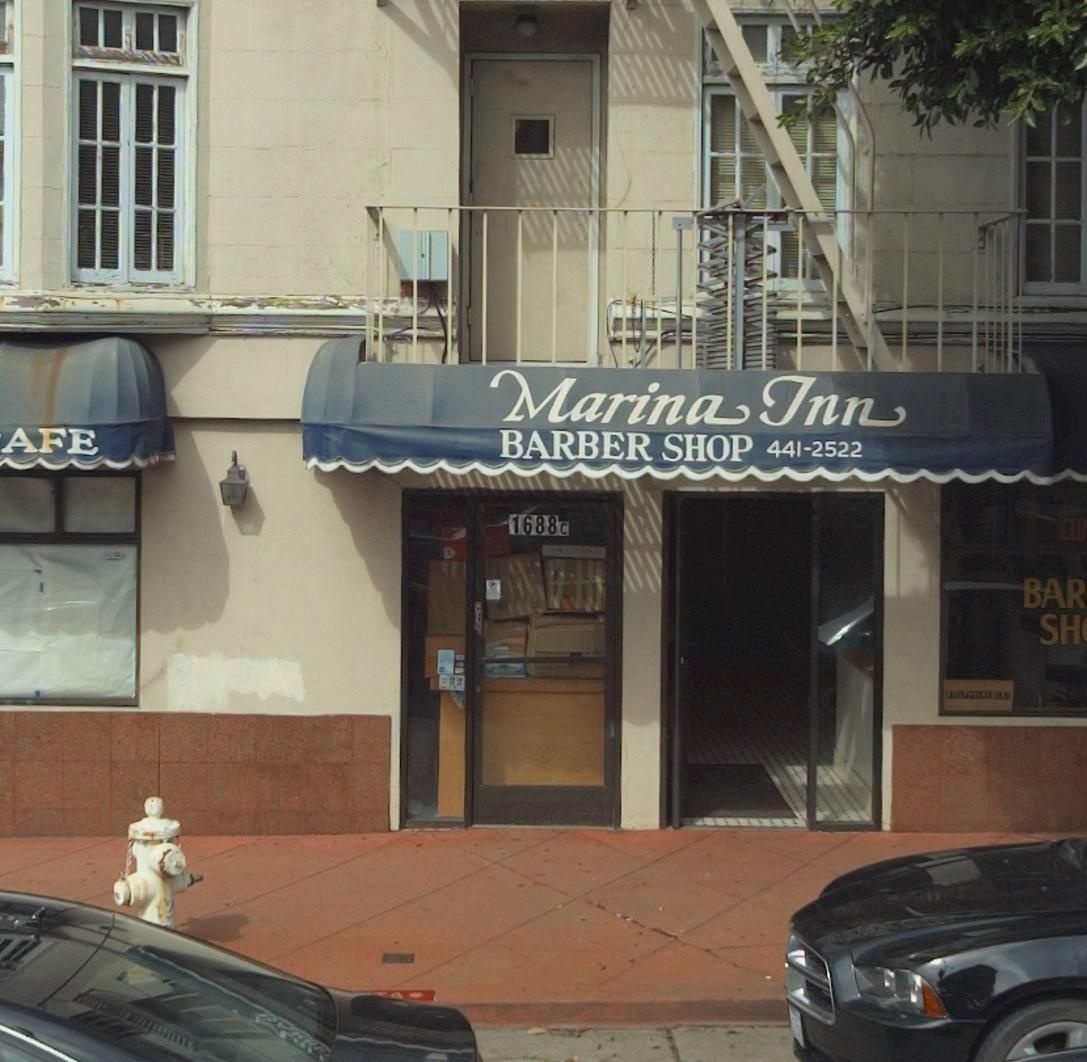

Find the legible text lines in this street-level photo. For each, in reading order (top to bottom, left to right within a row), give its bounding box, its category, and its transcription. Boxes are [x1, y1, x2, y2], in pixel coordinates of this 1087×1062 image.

[500, 373, 877, 429] BusinessName: Marina Inn
[0, 426, 100, 456] BusinessName: AFE
[498, 428, 755, 463] BusinessName: BARBER SHOP
[766, 439, 867, 460] None: 441-2522
[511, 514, 570, 535] StreetNumber: 1688c
[1023, 577, 1084, 609] BusinessName: BAR
[1039, 613, 1080, 647] BusinessName: SH